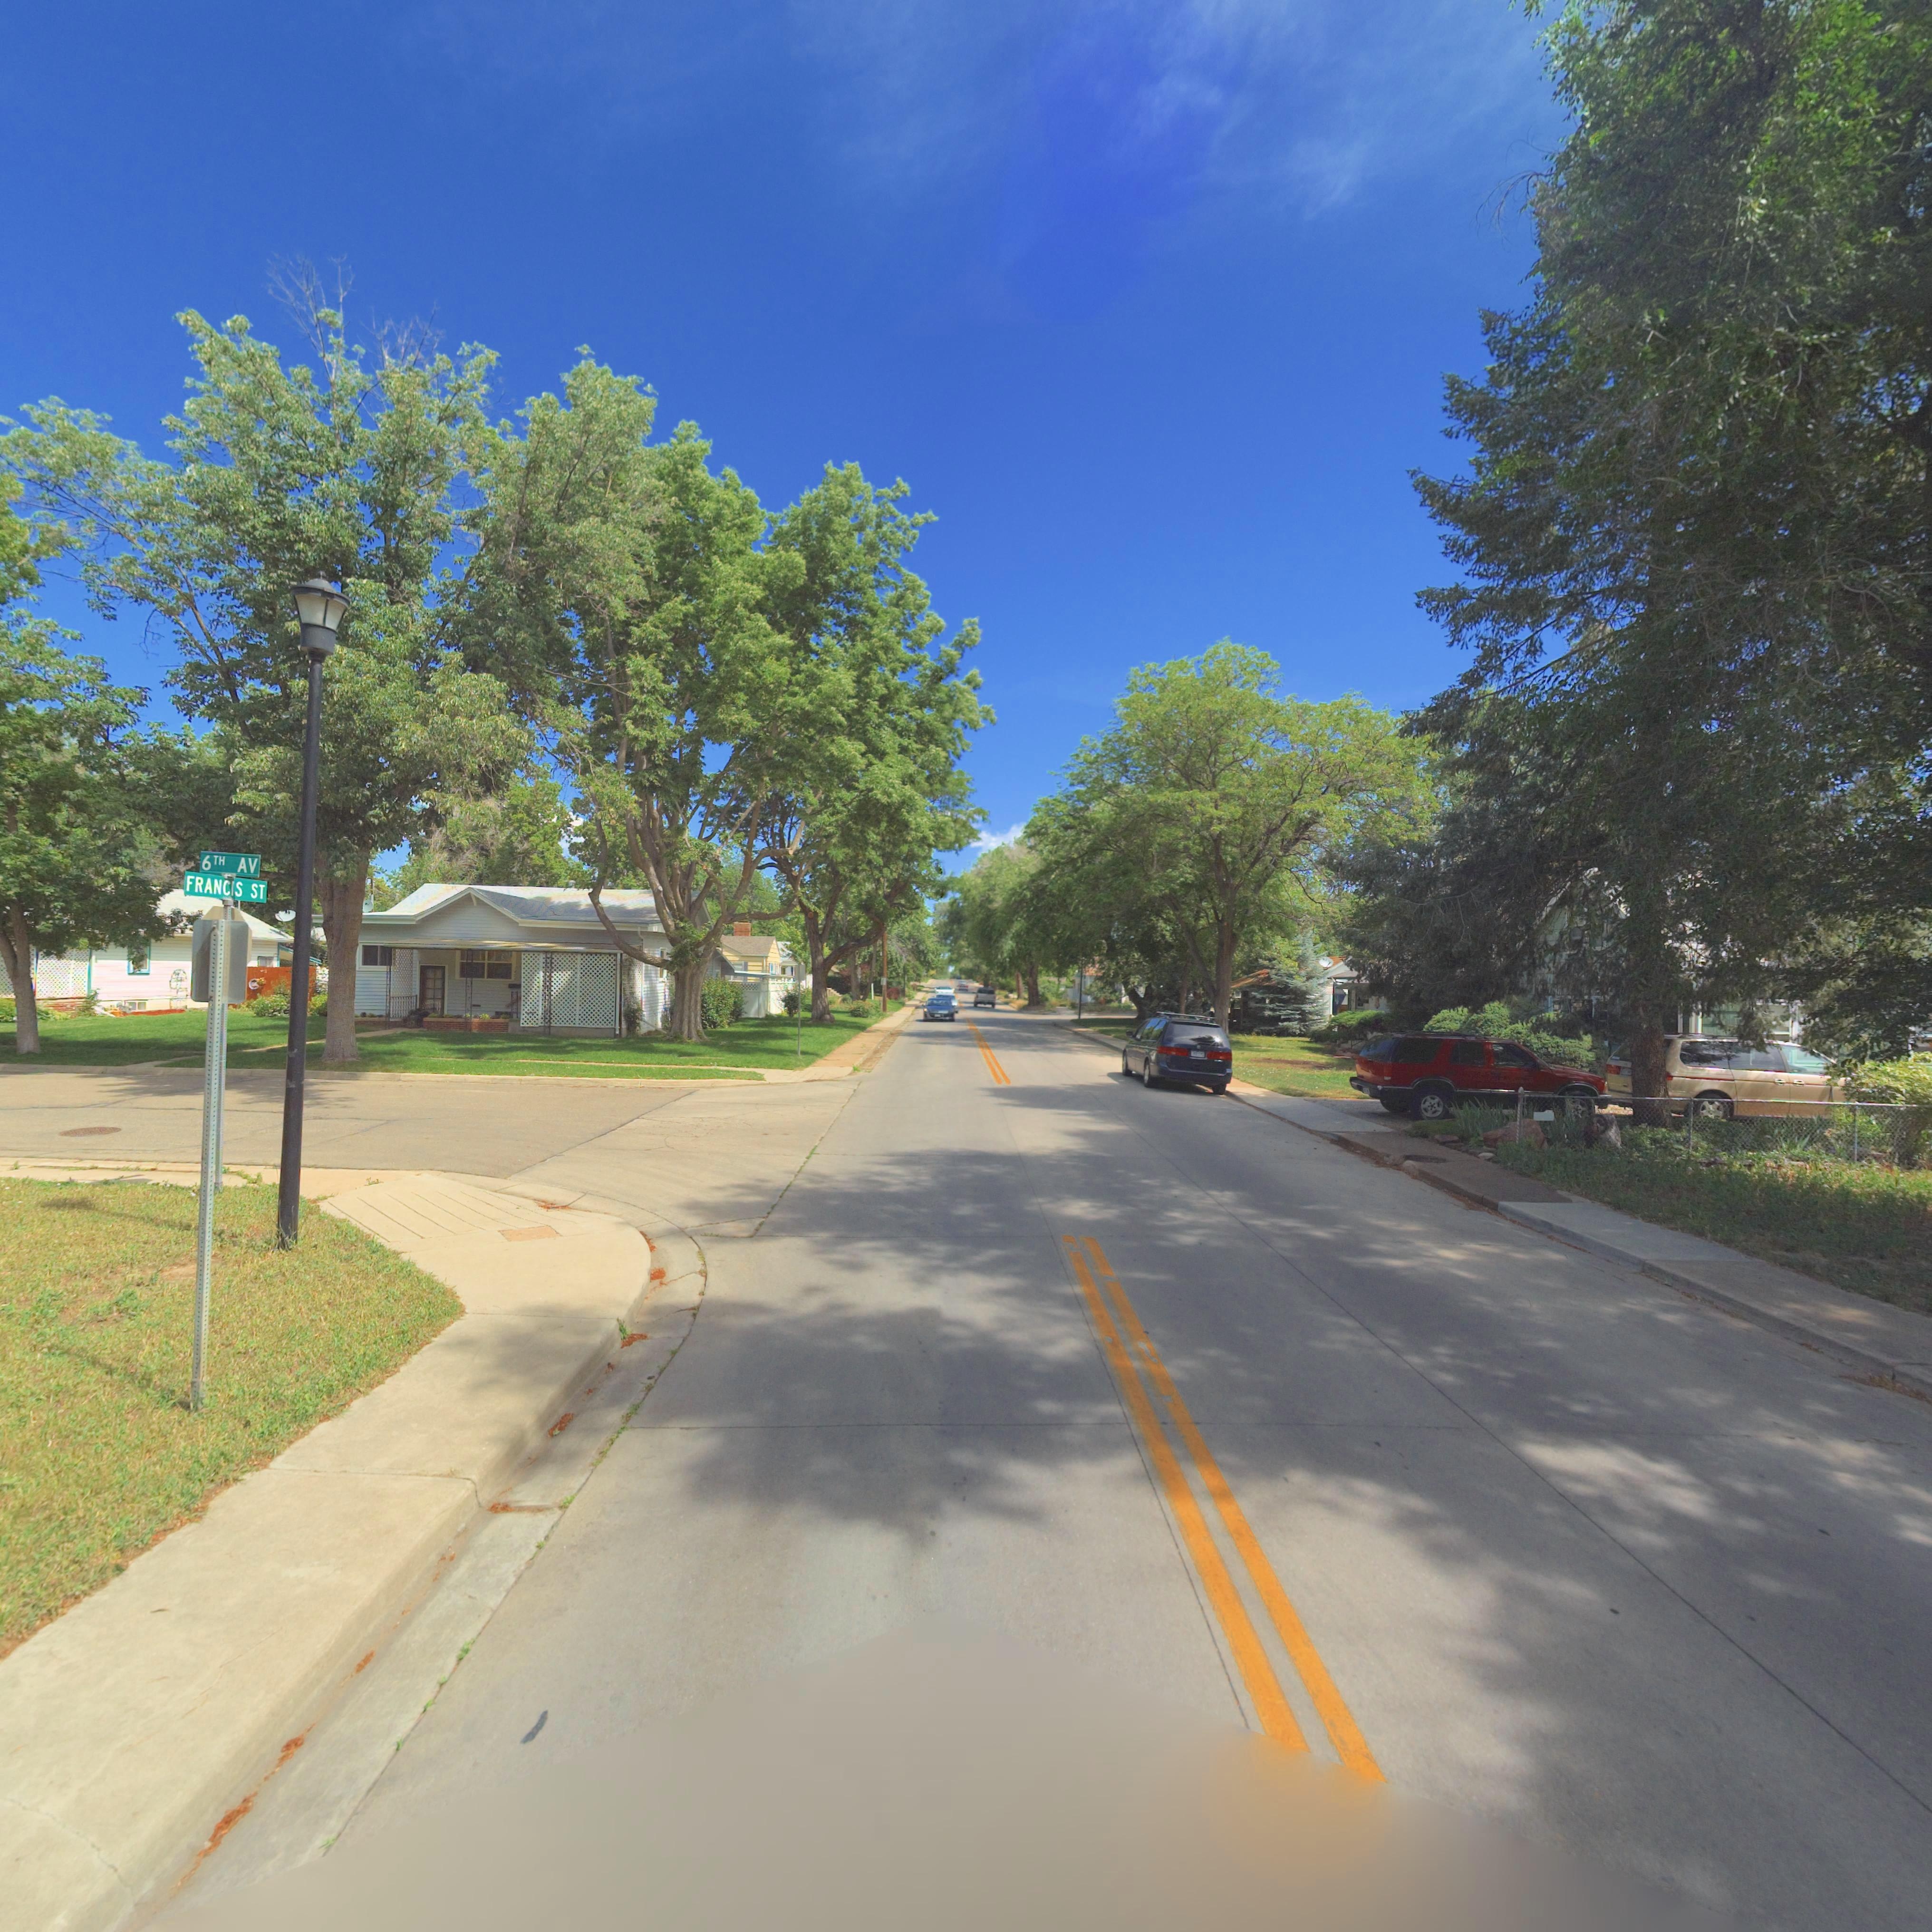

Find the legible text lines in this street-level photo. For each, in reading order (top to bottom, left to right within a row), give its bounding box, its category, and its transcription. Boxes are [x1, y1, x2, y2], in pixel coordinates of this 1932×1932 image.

[201, 854, 259, 874] StreetName: 6TH AV
[185, 875, 265, 899] StreetName: FRANCIS ST